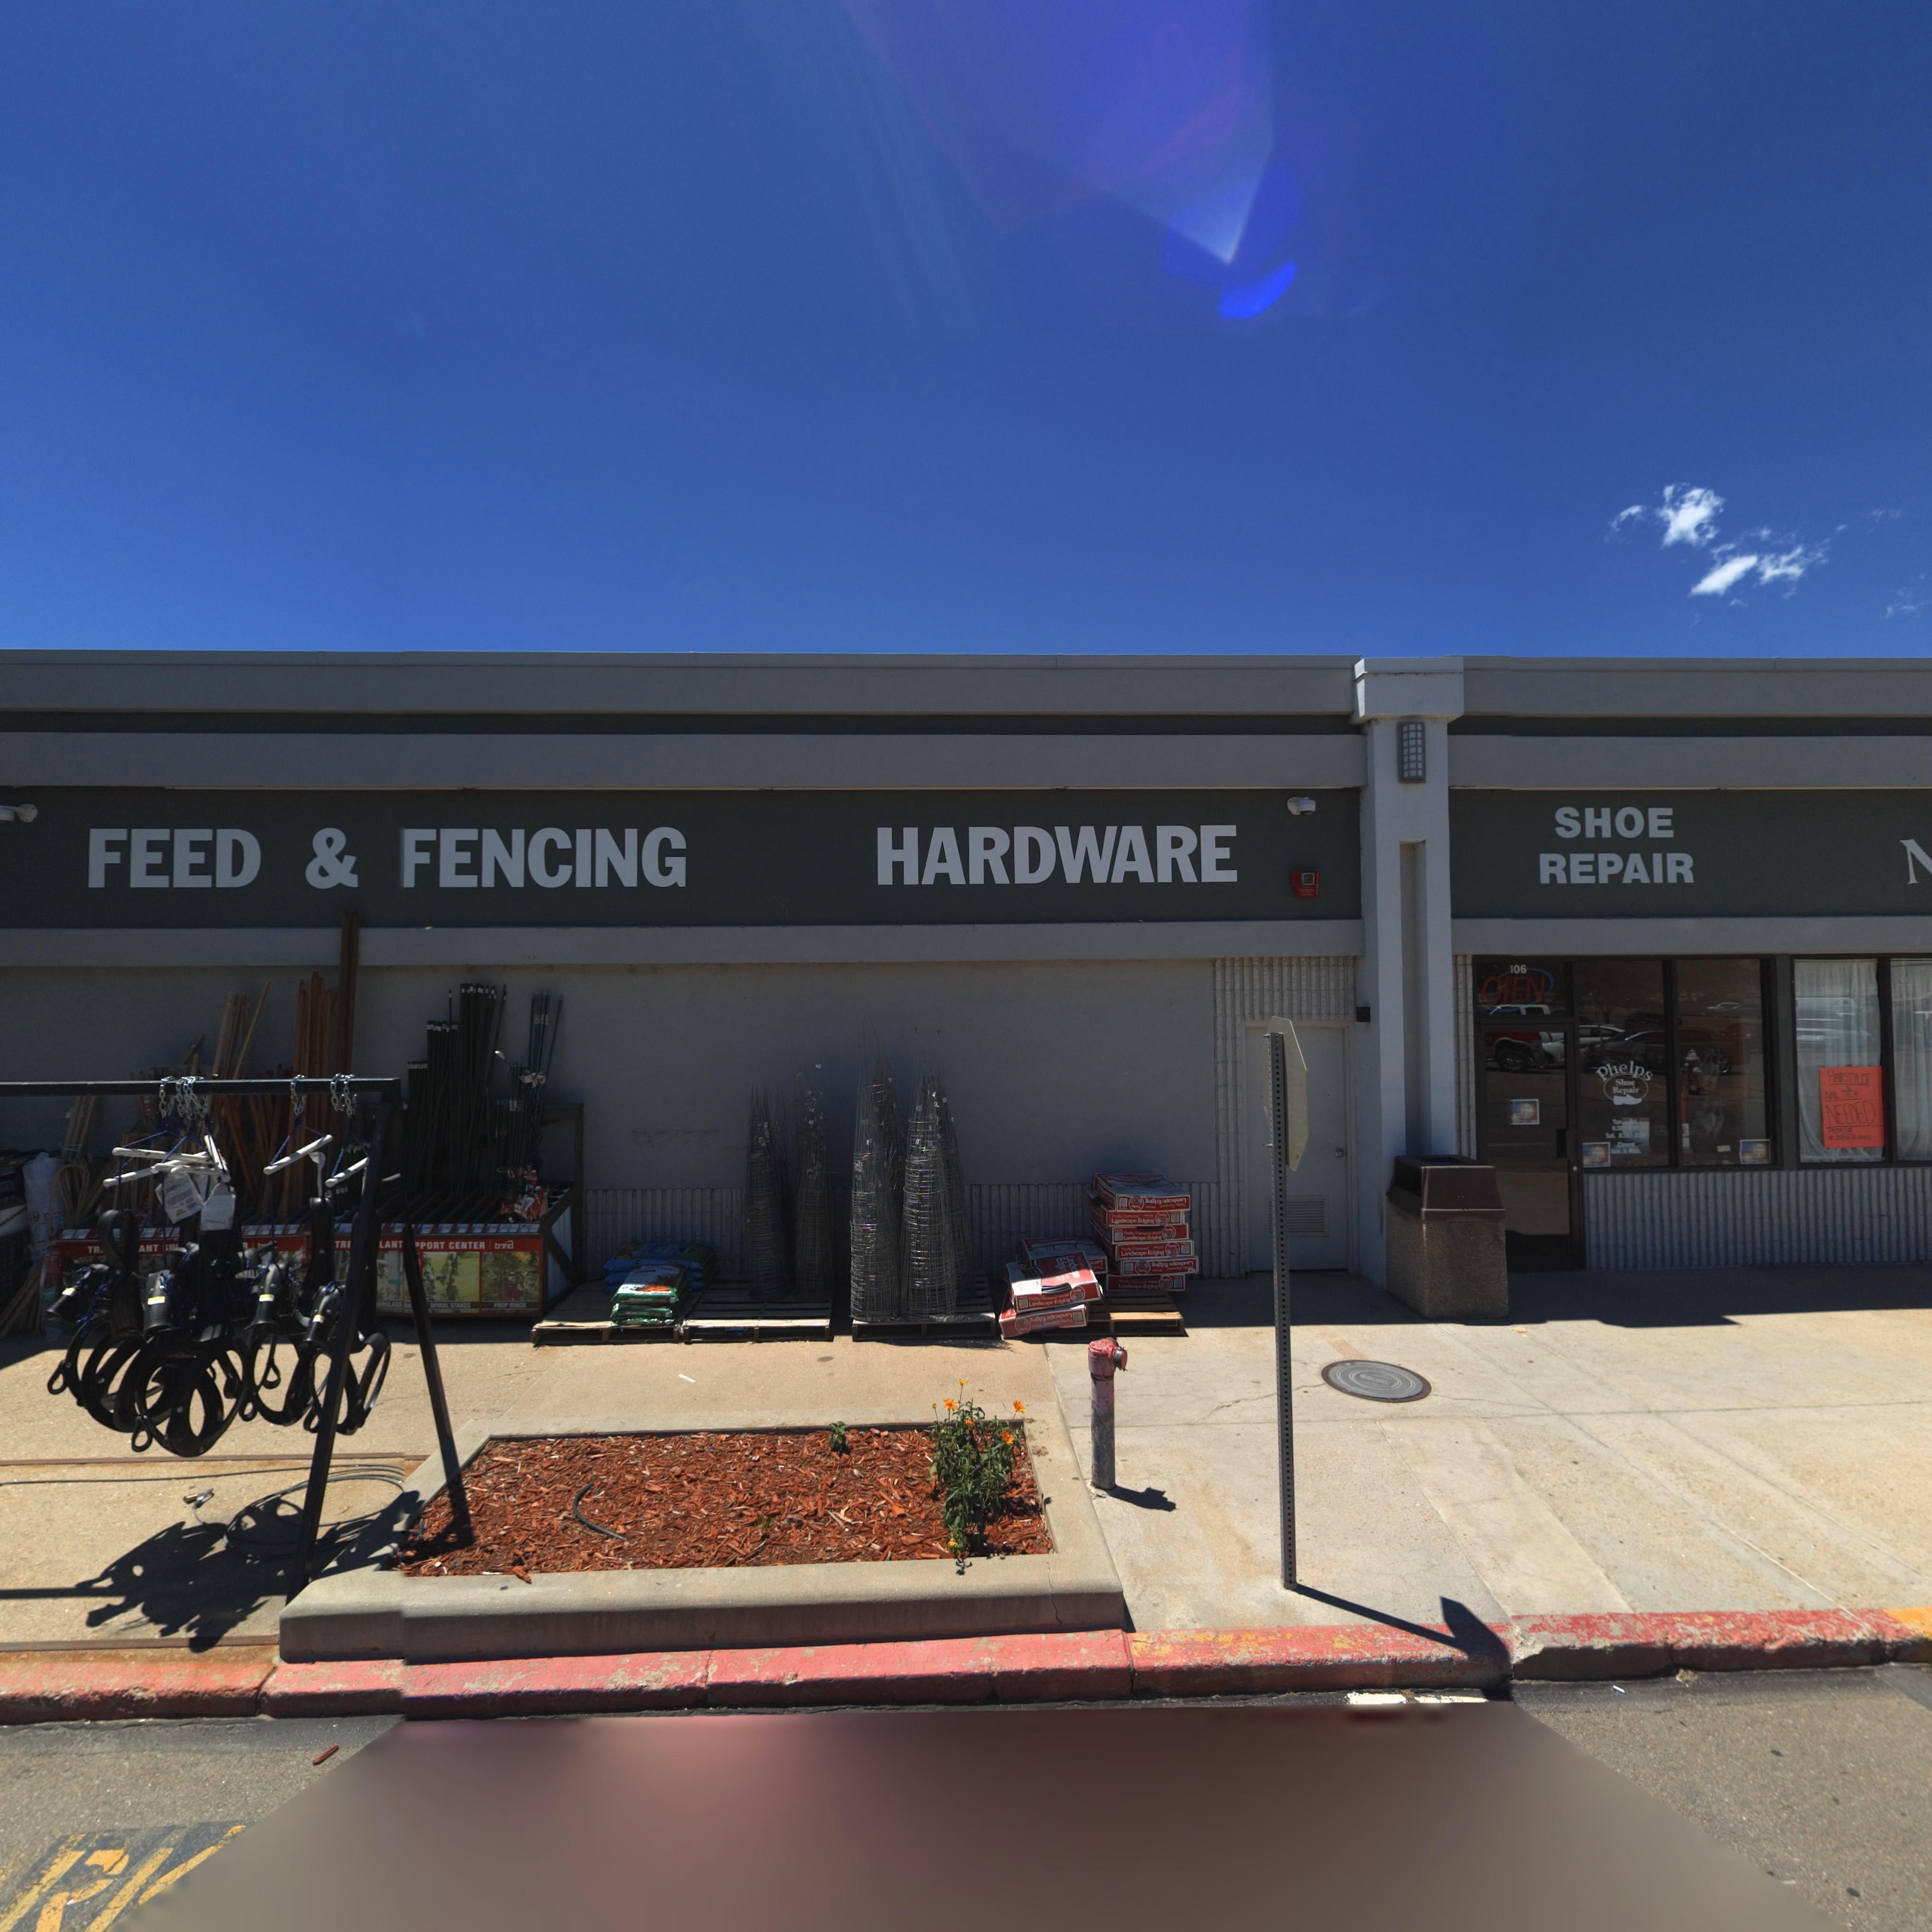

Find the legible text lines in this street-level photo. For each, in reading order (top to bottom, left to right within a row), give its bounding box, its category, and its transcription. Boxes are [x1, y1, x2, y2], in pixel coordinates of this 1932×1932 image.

[1509, 964, 1526, 974] StreetNumber: 106
[1595, 1060, 1653, 1083] BusinessName: Phelps
[1615, 1078, 1635, 1086] BusinessName: Shoe
[1612, 1086, 1640, 1095] BusinessName: Repair